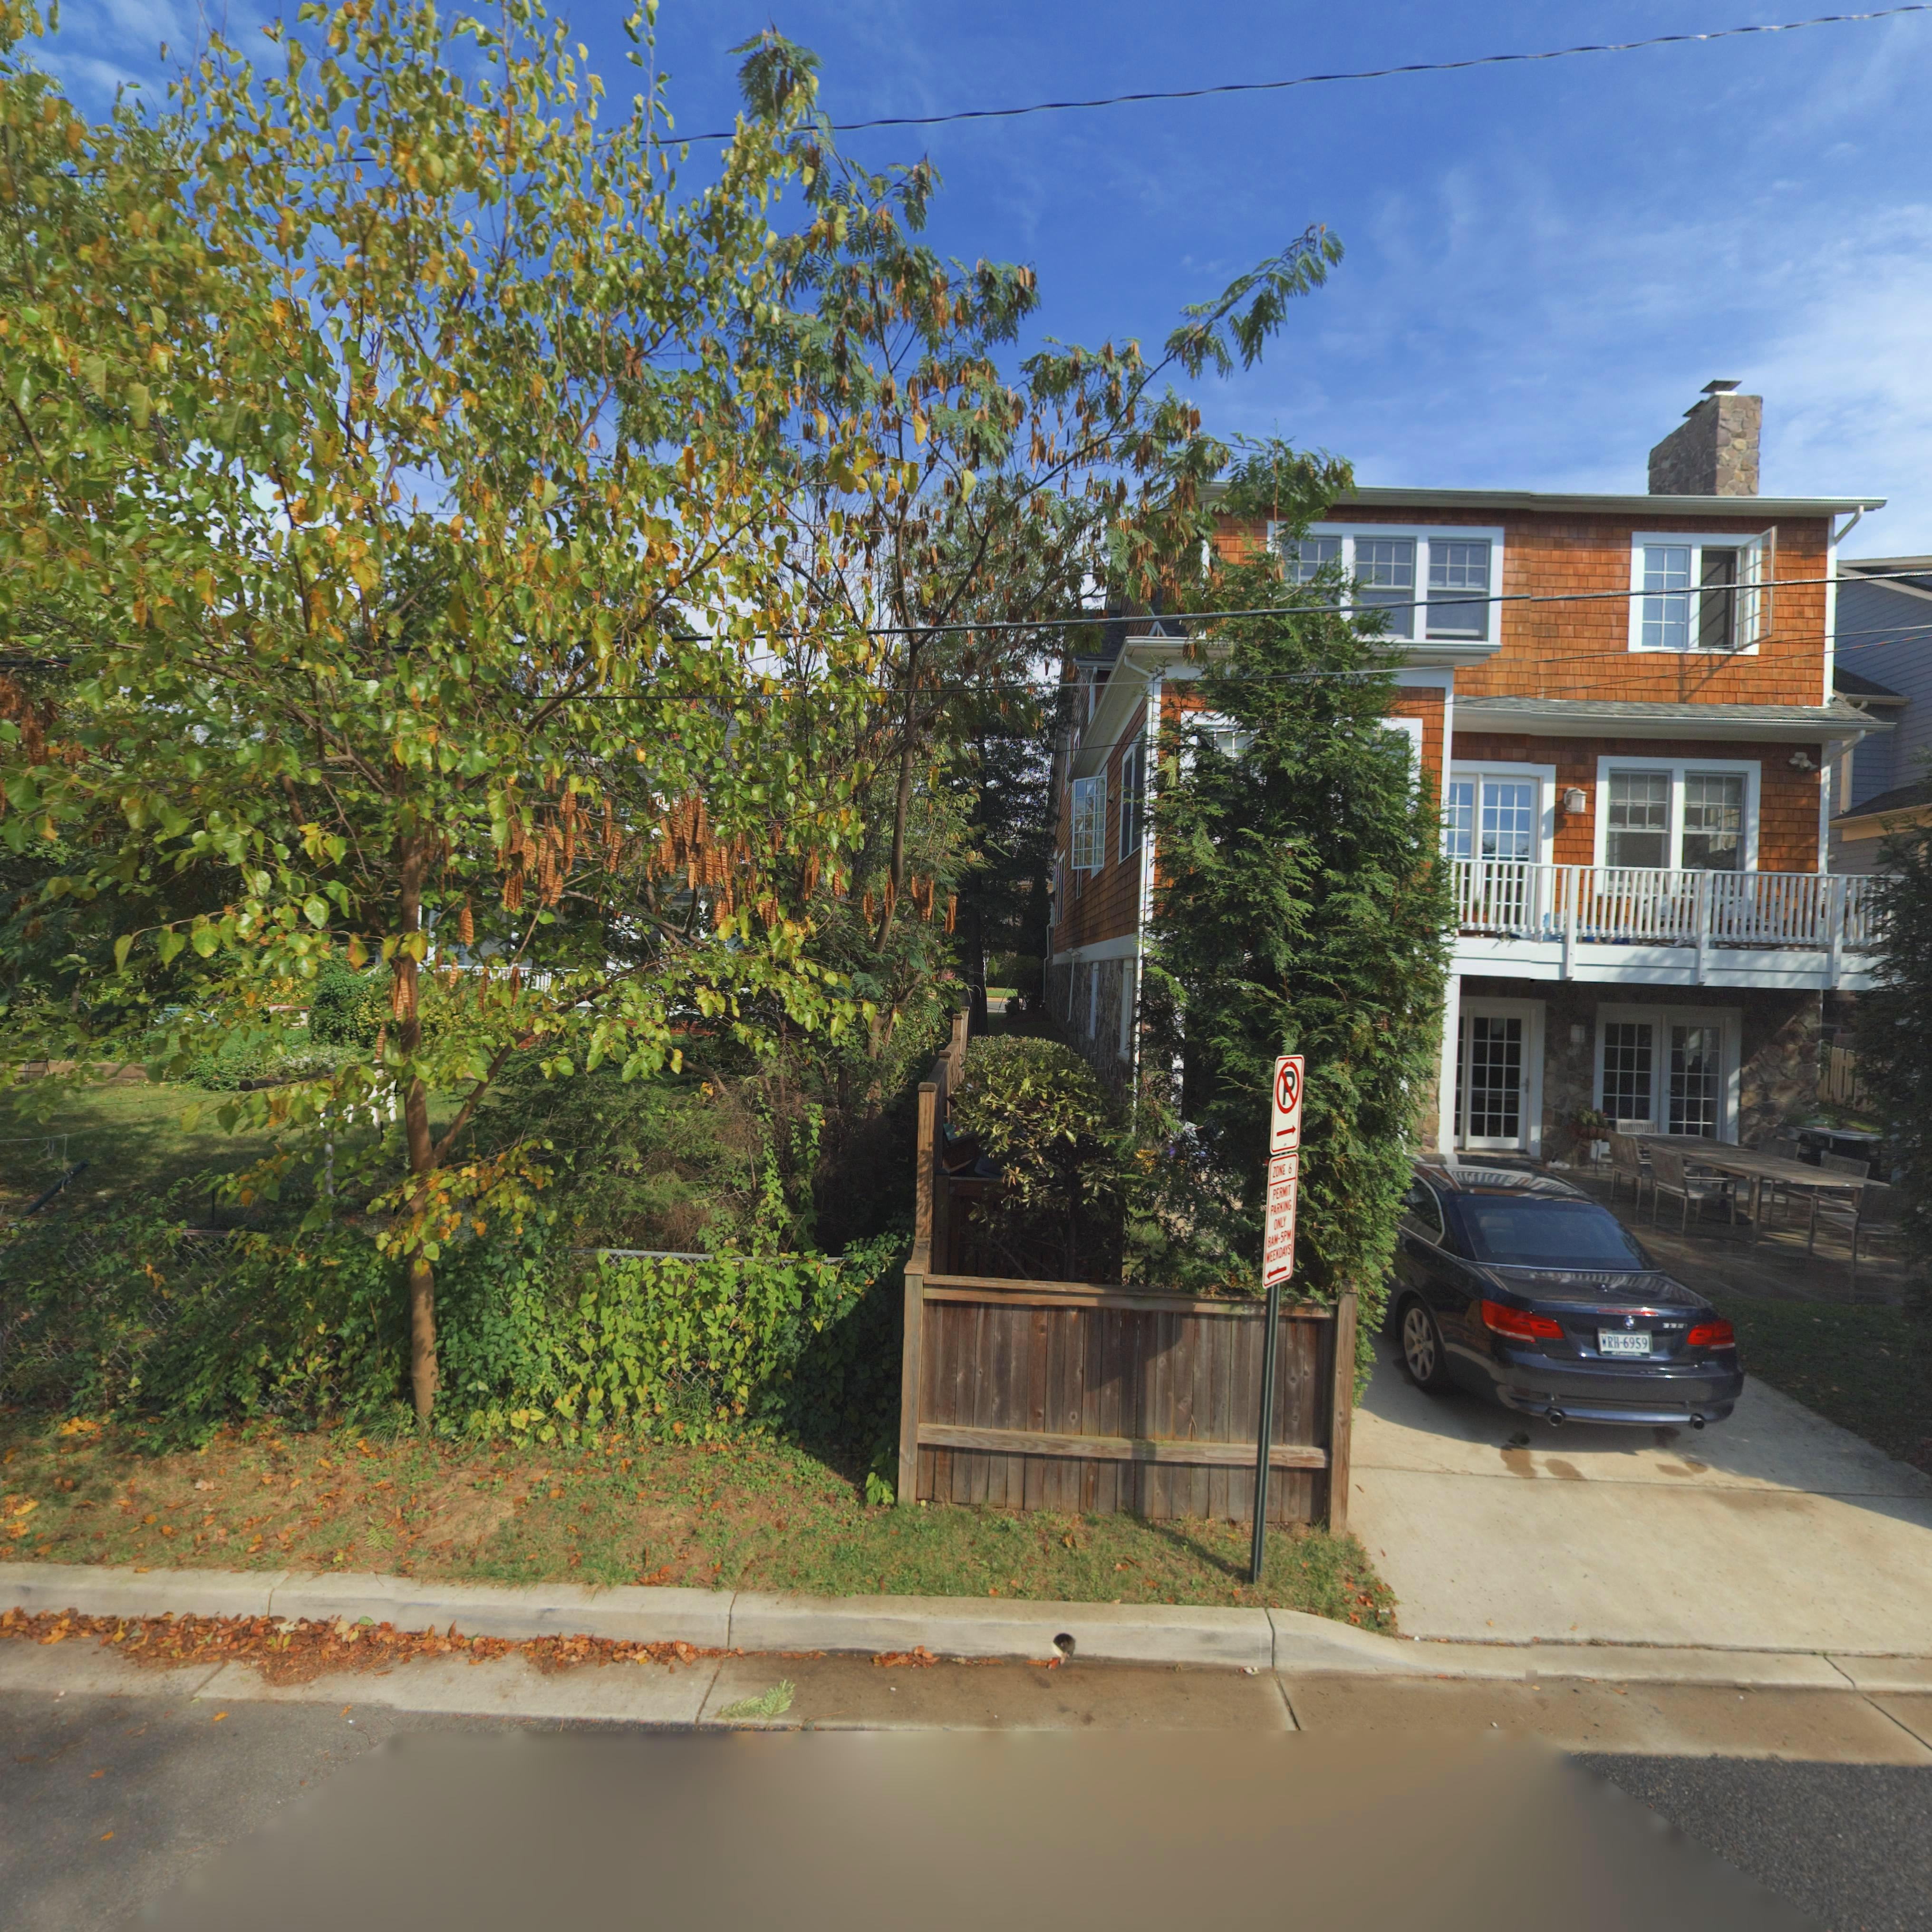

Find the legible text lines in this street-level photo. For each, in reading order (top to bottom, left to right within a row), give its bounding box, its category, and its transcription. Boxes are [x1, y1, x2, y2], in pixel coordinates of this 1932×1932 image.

[1271, 1160, 1294, 1180] None: ZO** 6
[1272, 1183, 1292, 1202] None: PERM**
[1268, 1197, 1293, 1219] None: PARKING
[1272, 1214, 1287, 1232] None: O**Y
[1266, 1227, 1292, 1249] None: 8AM-5PM
[1599, 1334, 1650, 1351] None: *RH-6959